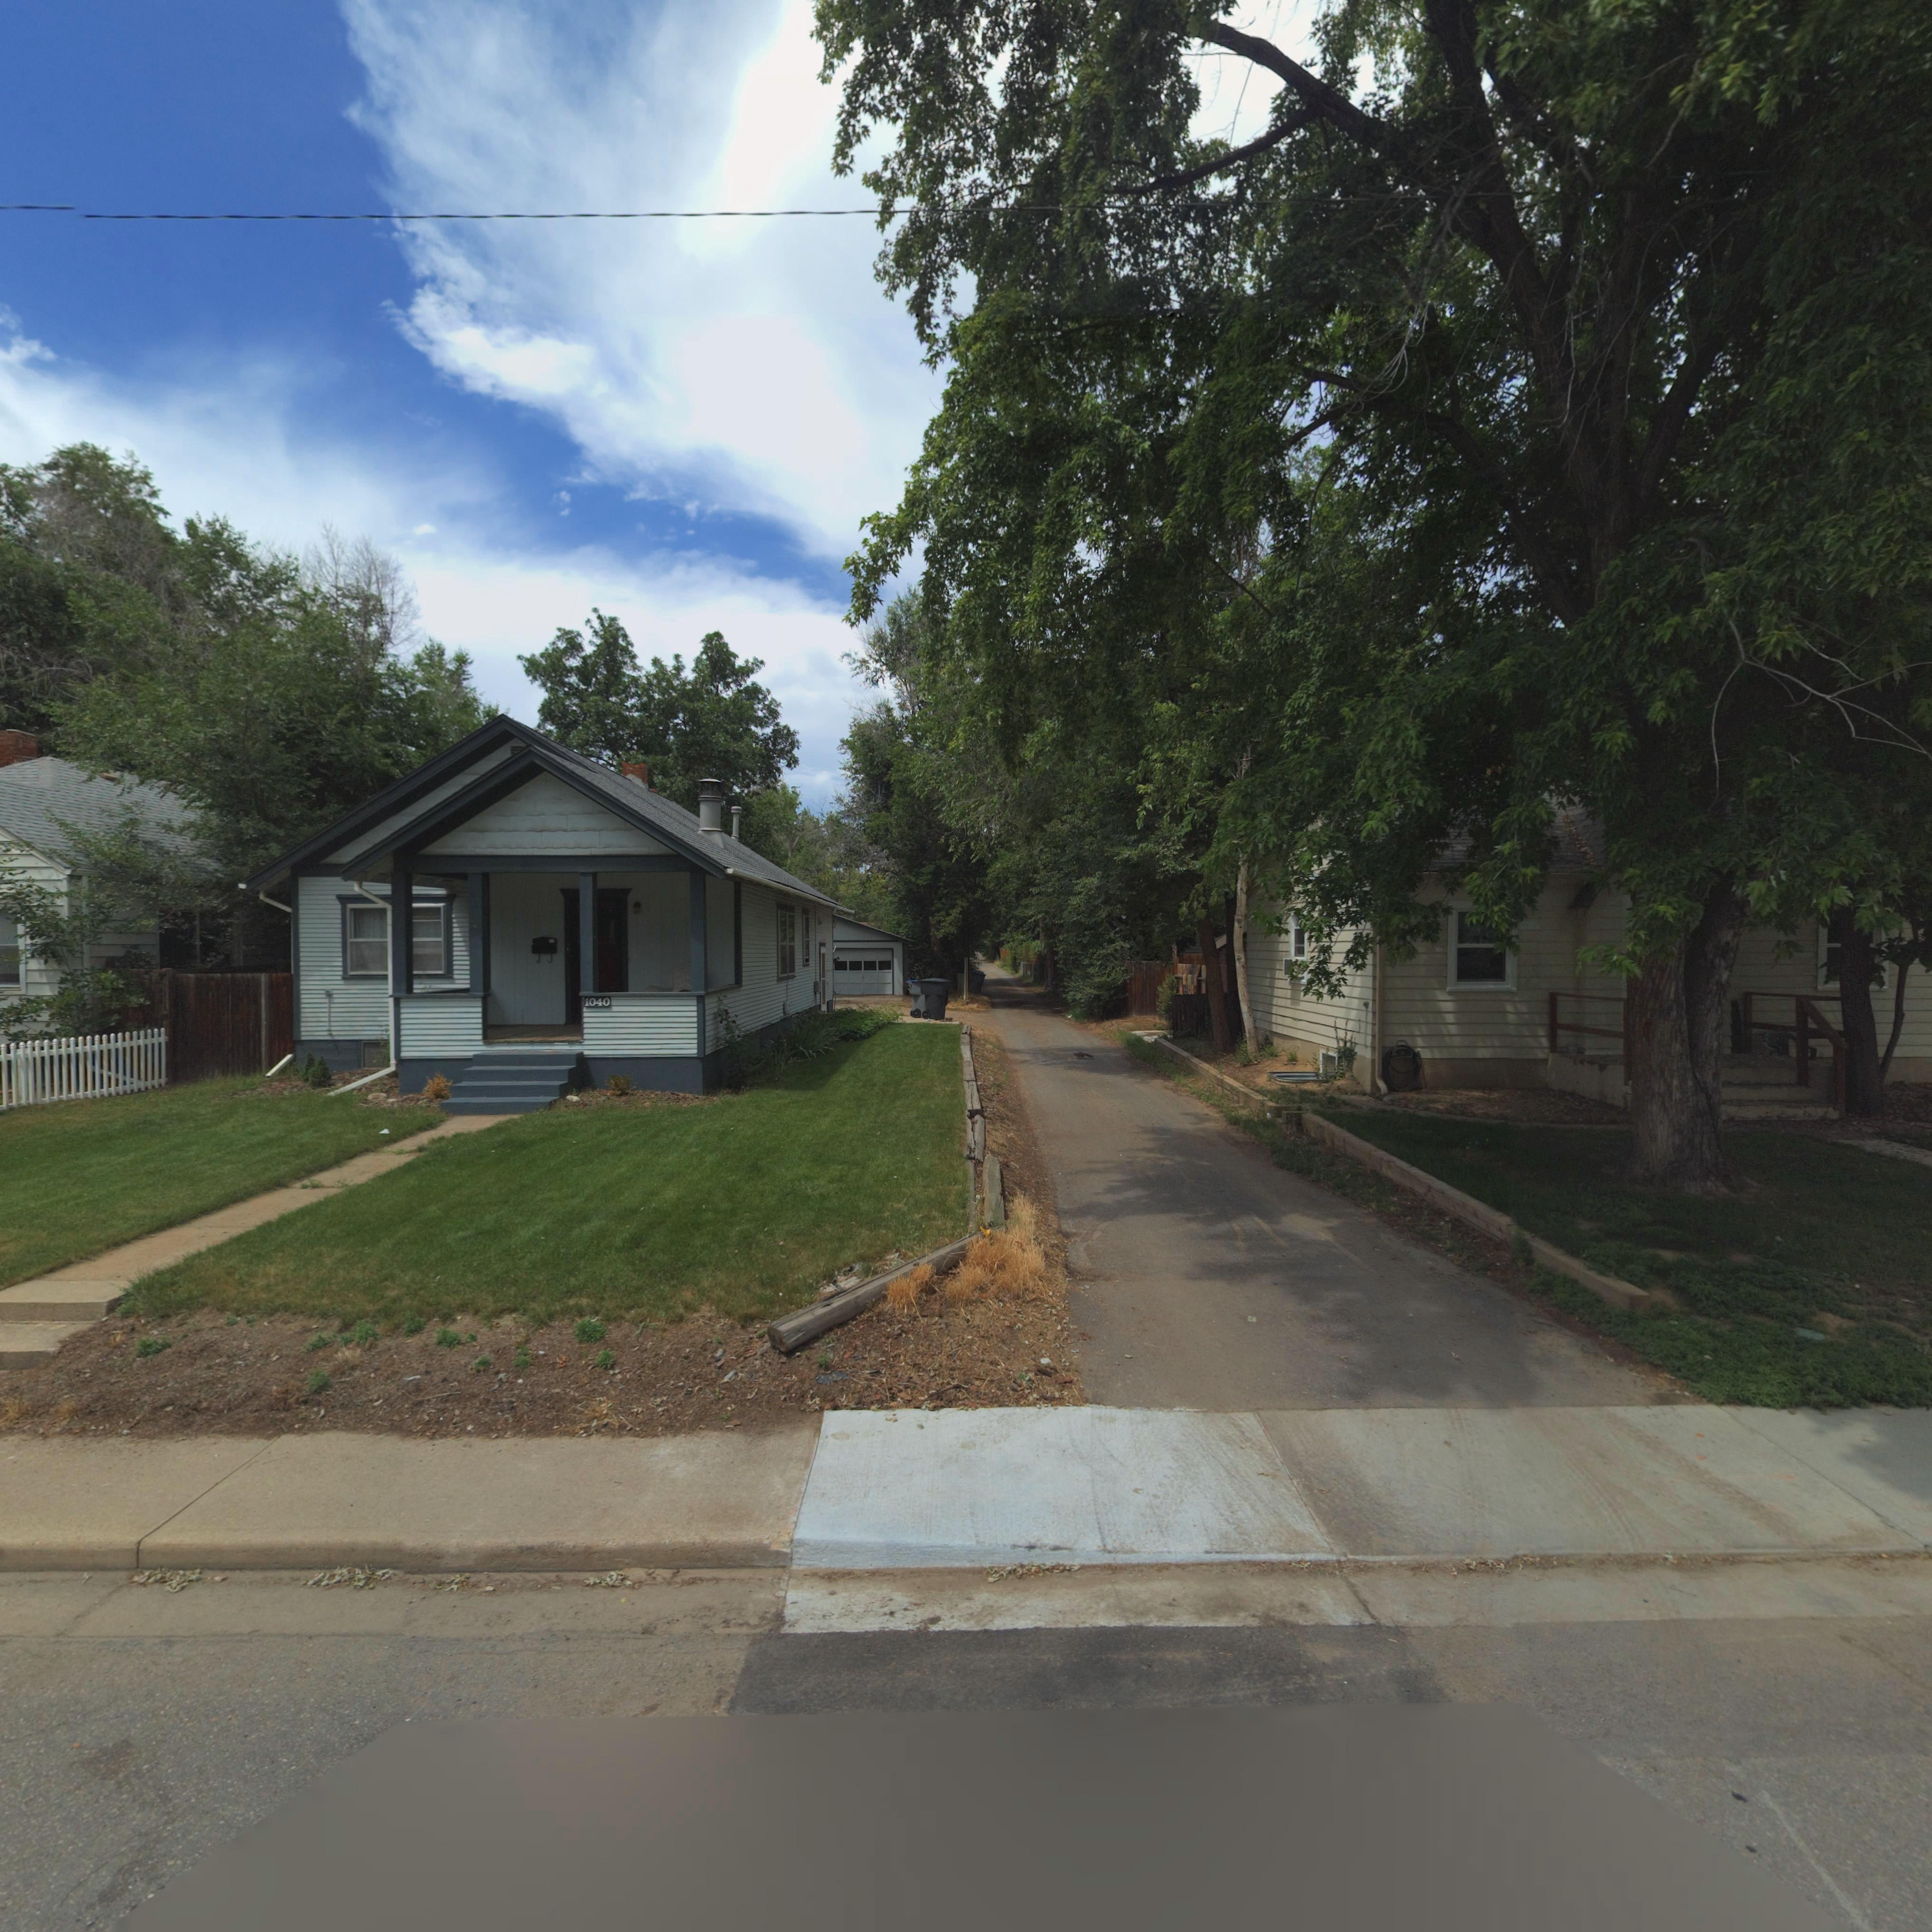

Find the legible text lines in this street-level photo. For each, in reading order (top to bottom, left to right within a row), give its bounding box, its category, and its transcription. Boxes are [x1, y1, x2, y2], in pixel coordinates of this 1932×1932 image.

[583, 997, 611, 1007] StreetNumber: 1040